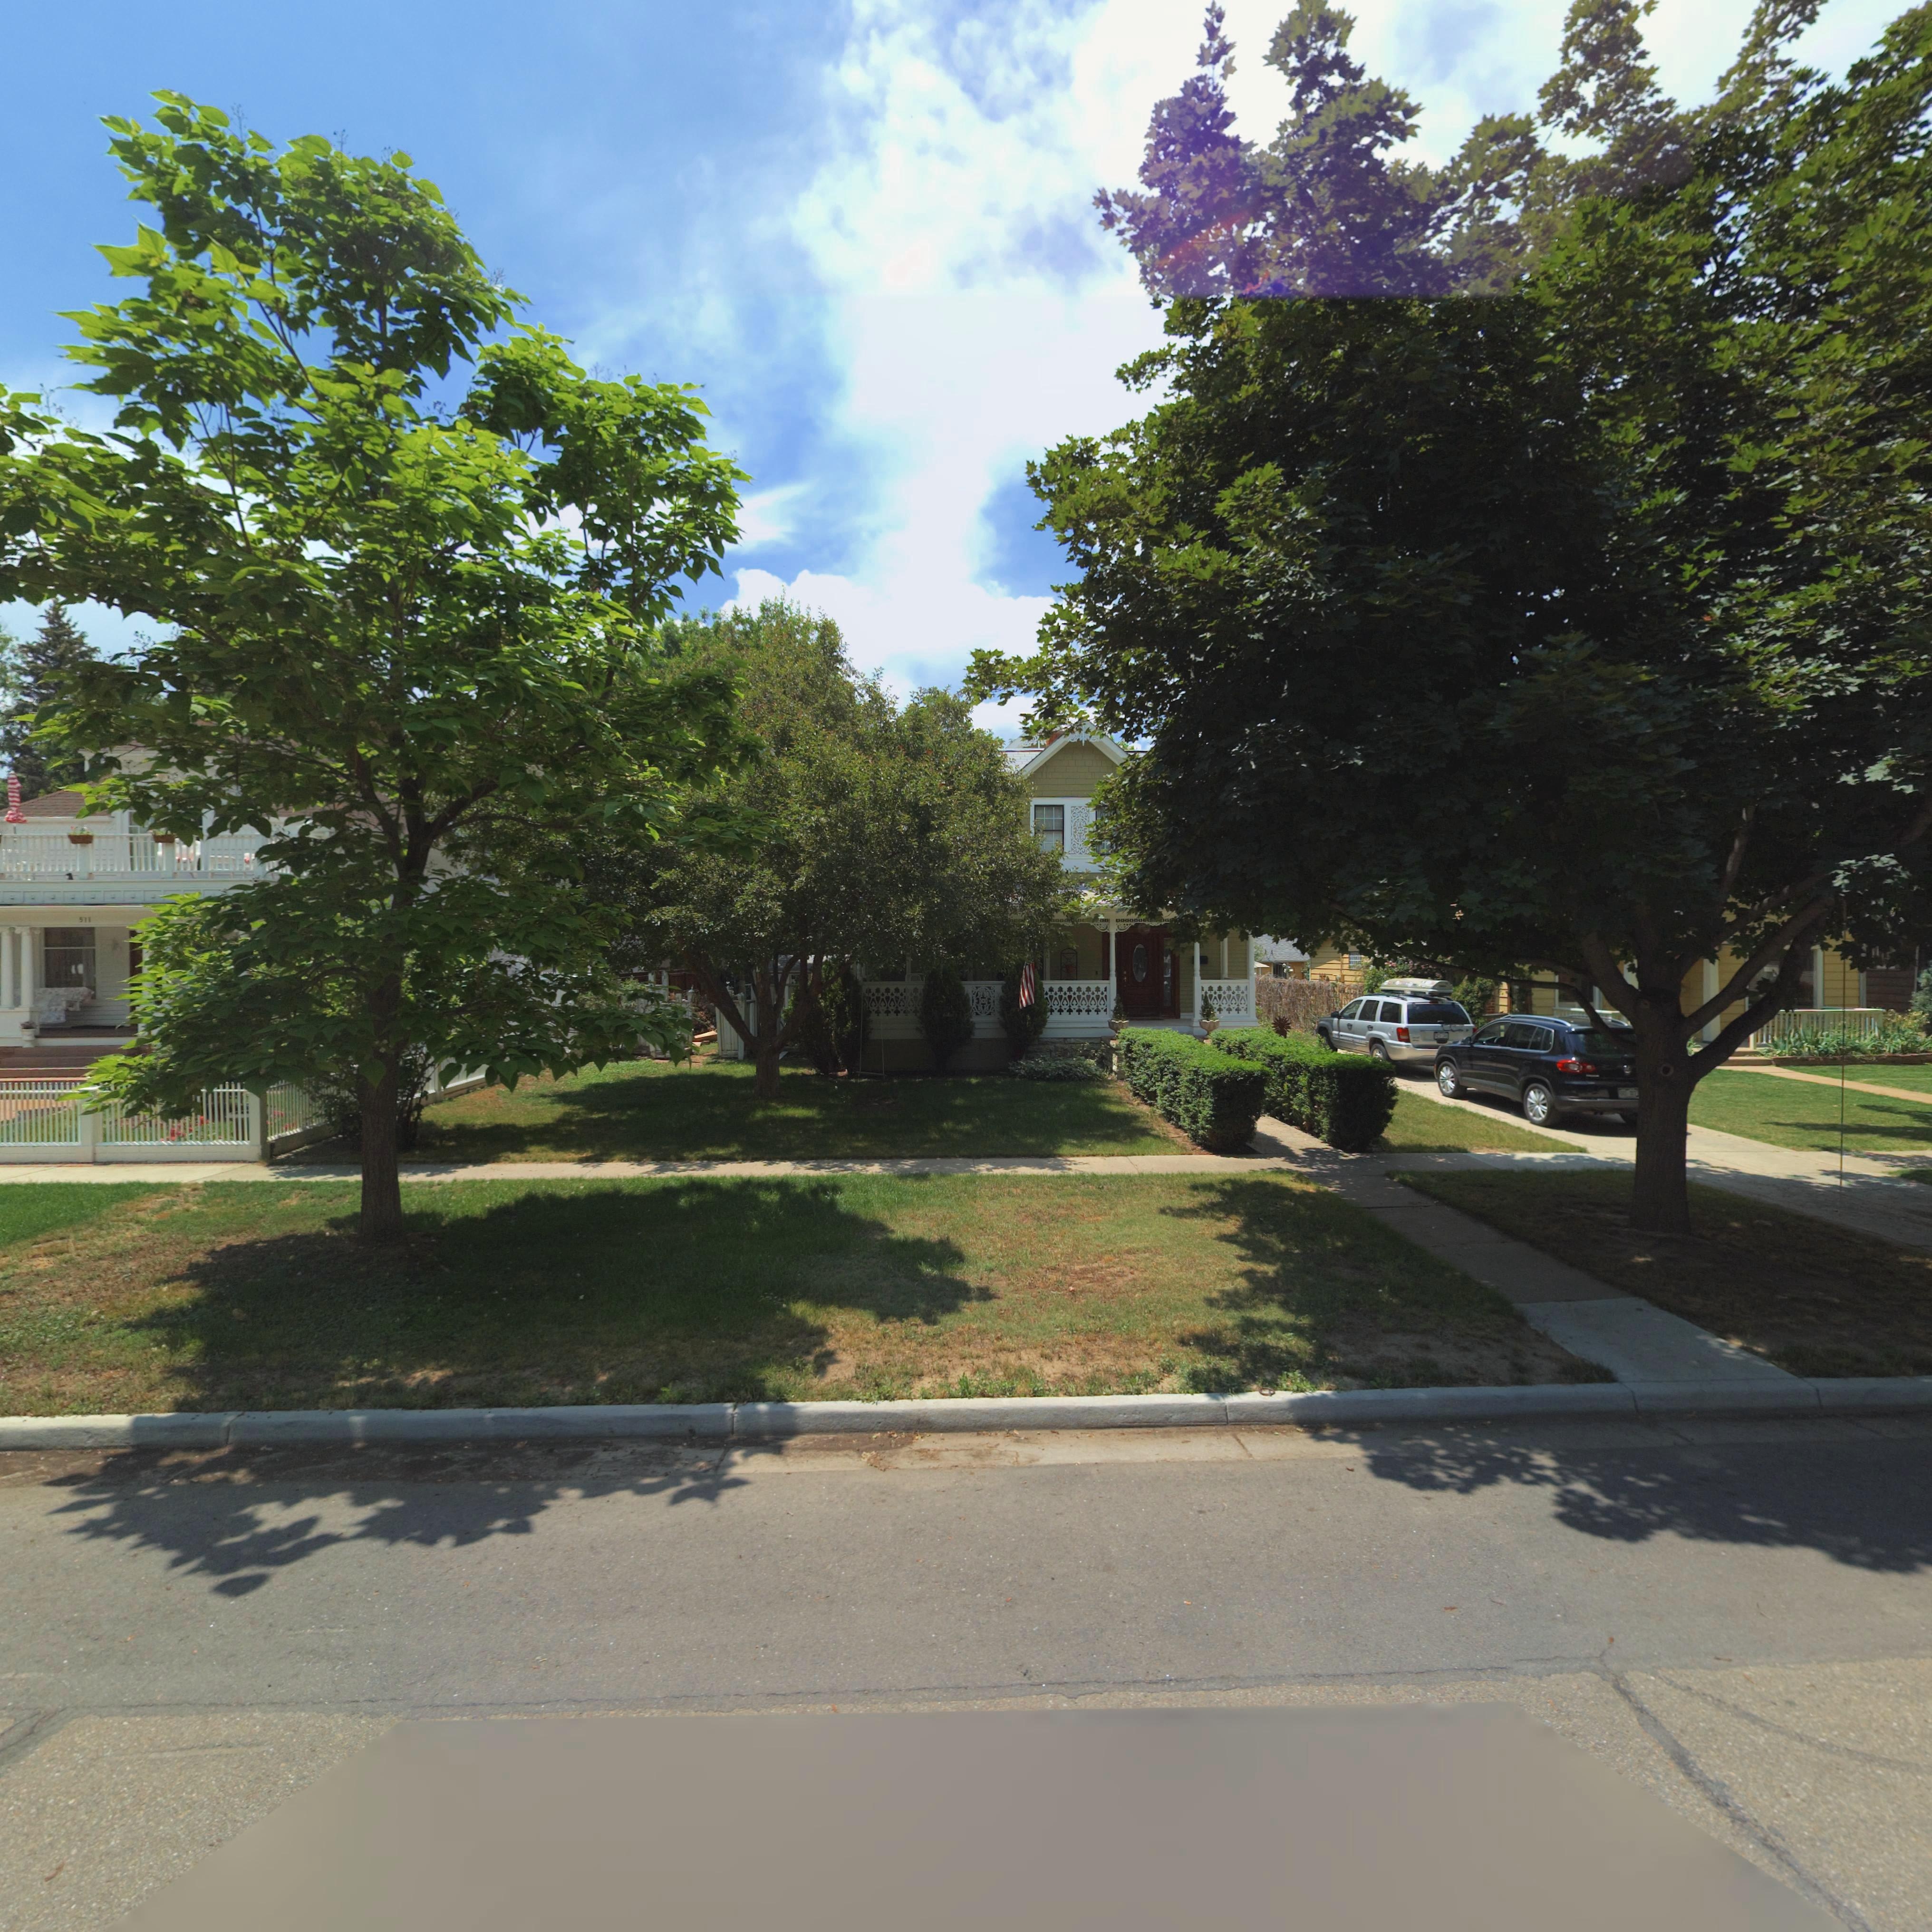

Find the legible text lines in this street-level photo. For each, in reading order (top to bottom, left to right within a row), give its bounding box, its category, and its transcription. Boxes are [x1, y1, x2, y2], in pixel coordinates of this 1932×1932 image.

[79, 916, 91, 922] StreetNumber: 51*